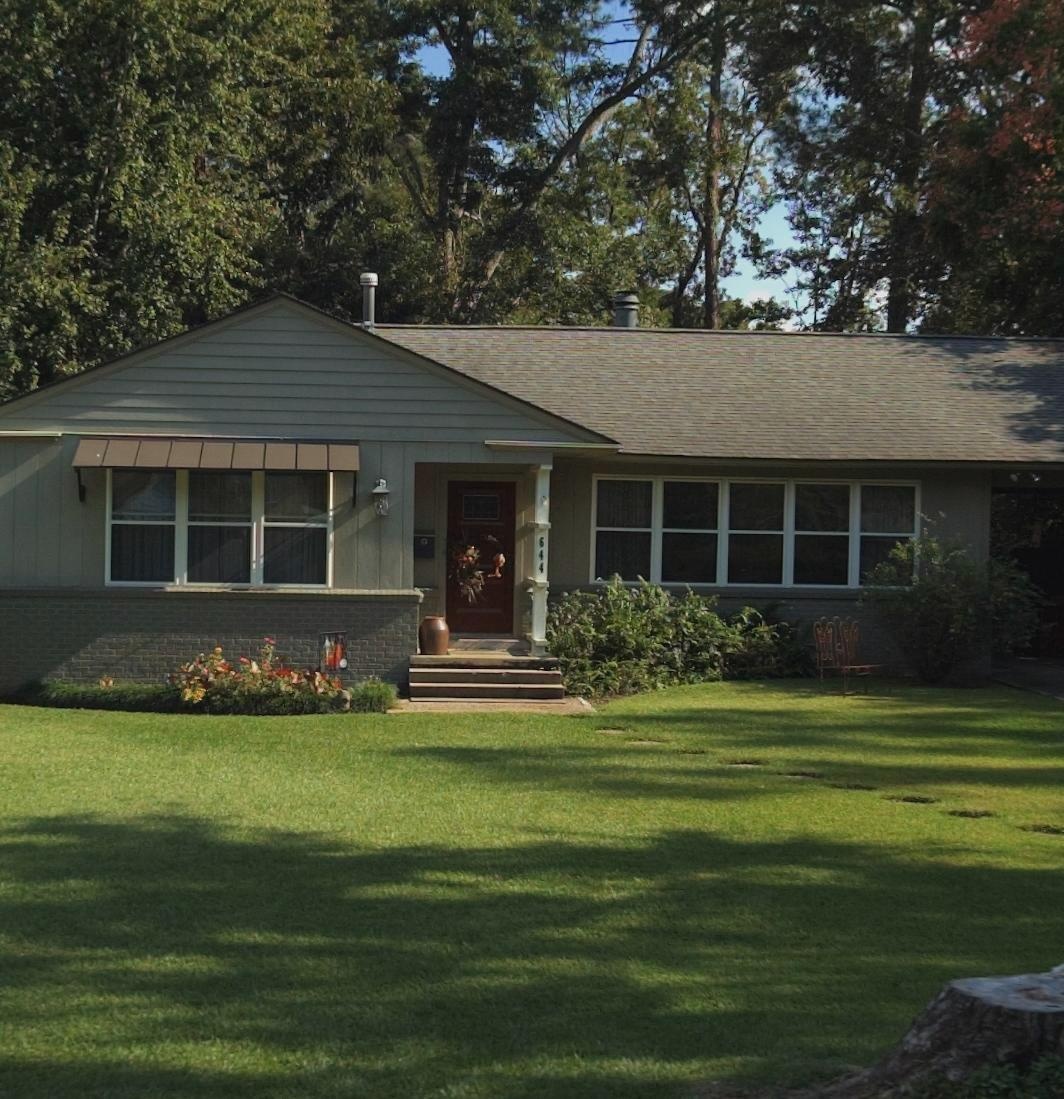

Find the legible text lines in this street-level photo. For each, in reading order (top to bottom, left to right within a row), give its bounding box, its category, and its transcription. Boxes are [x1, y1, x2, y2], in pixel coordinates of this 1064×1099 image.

[538, 535, 545, 574] StreetNumber: 644